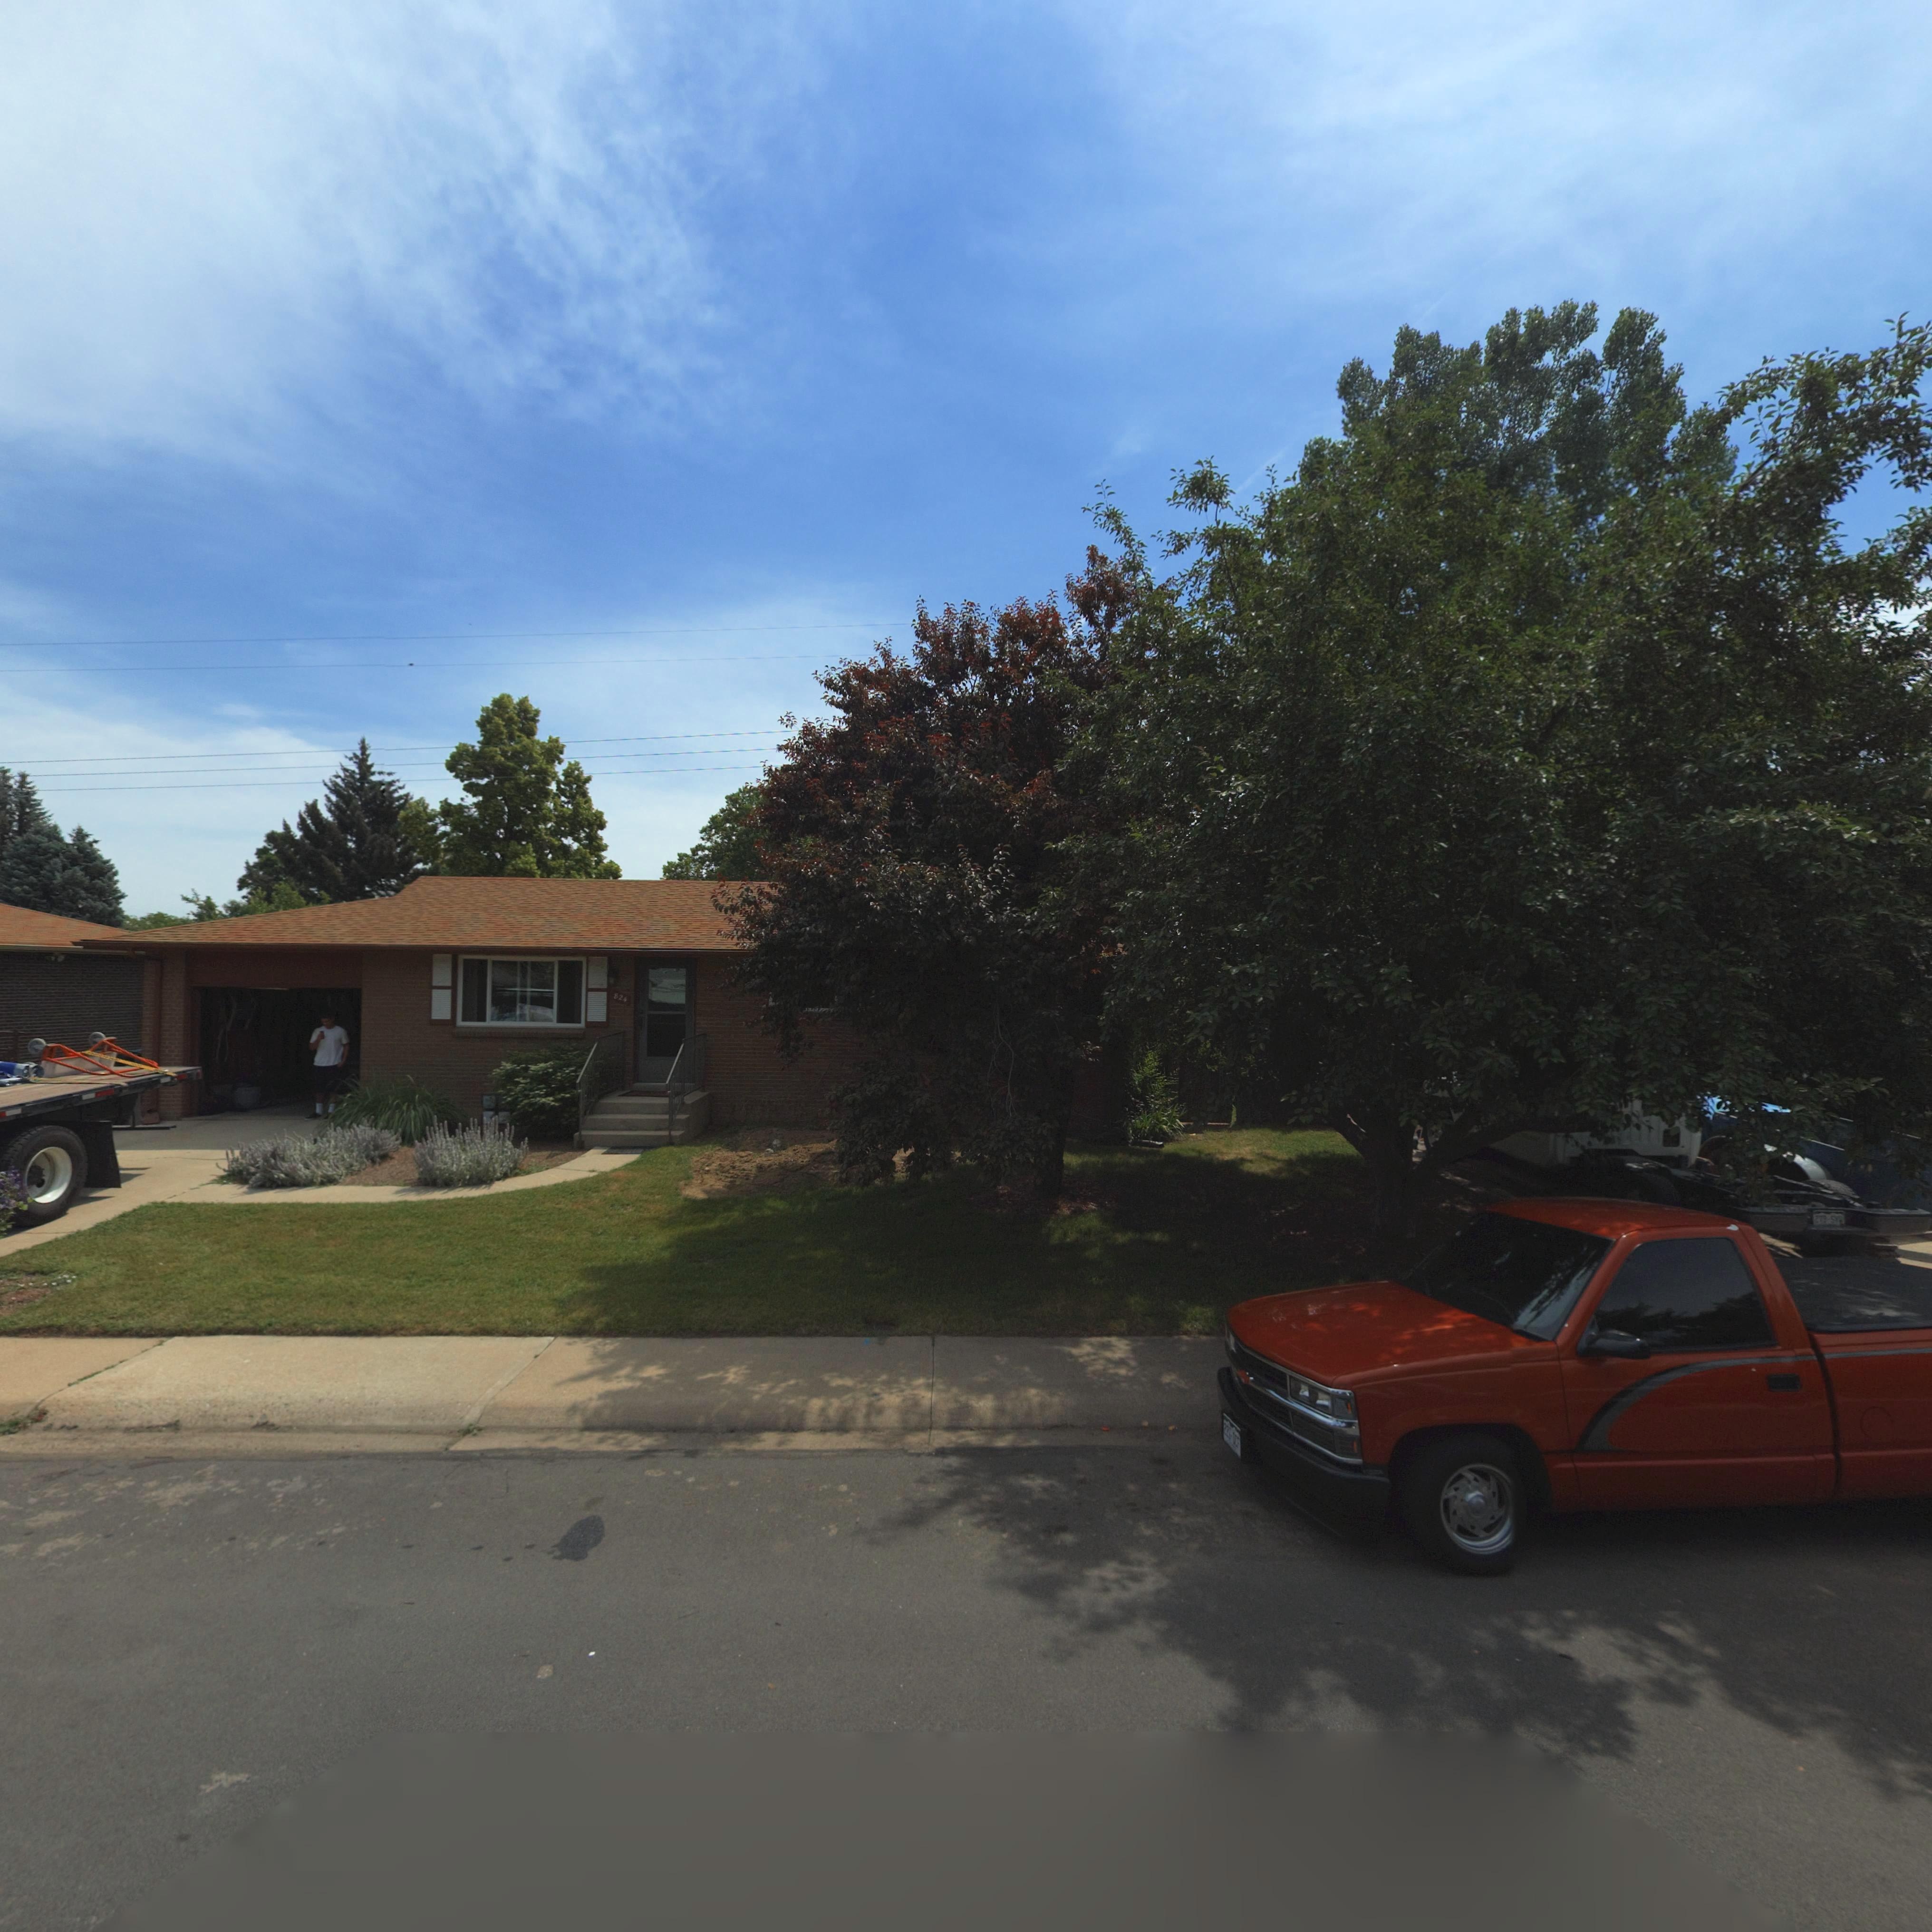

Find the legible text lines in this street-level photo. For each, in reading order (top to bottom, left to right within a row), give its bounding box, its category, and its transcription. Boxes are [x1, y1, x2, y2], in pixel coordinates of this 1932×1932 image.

[613, 993, 627, 1003] StreetNumber: 824